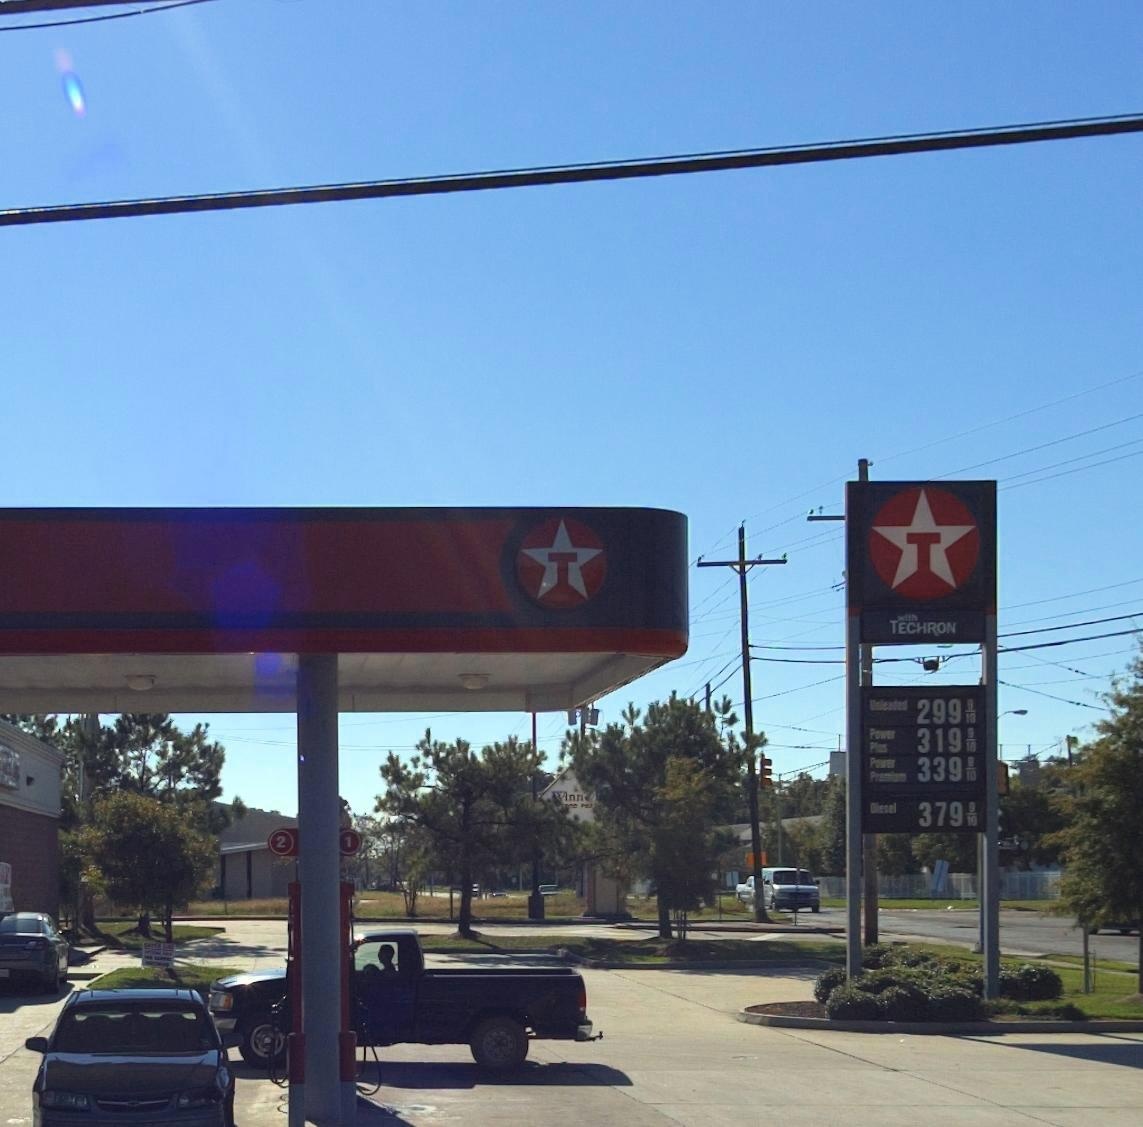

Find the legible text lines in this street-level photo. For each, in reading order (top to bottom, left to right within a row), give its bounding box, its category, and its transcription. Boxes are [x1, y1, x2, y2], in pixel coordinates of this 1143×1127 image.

[904, 529, 944, 575] None: T
[545, 550, 581, 587] BusinessName: T
[887, 618, 960, 637] None: TECHRON
[915, 695, 979, 727] None: 299 9/10
[867, 725, 878, 742] None: P
[868, 740, 880, 755] None: P
[913, 724, 979, 756] None: 319 9/10
[868, 769, 877, 785] None: P
[868, 756, 878, 770] None: P
[915, 754, 979, 785] None: 399 9/10
[567, 791, 585, 803] None: nn
[867, 799, 899, 817] None: D**sel
[916, 797, 981, 830] None: 379 9/10
[273, 833, 289, 851] None: 2
[342, 833, 354, 851] None: 1